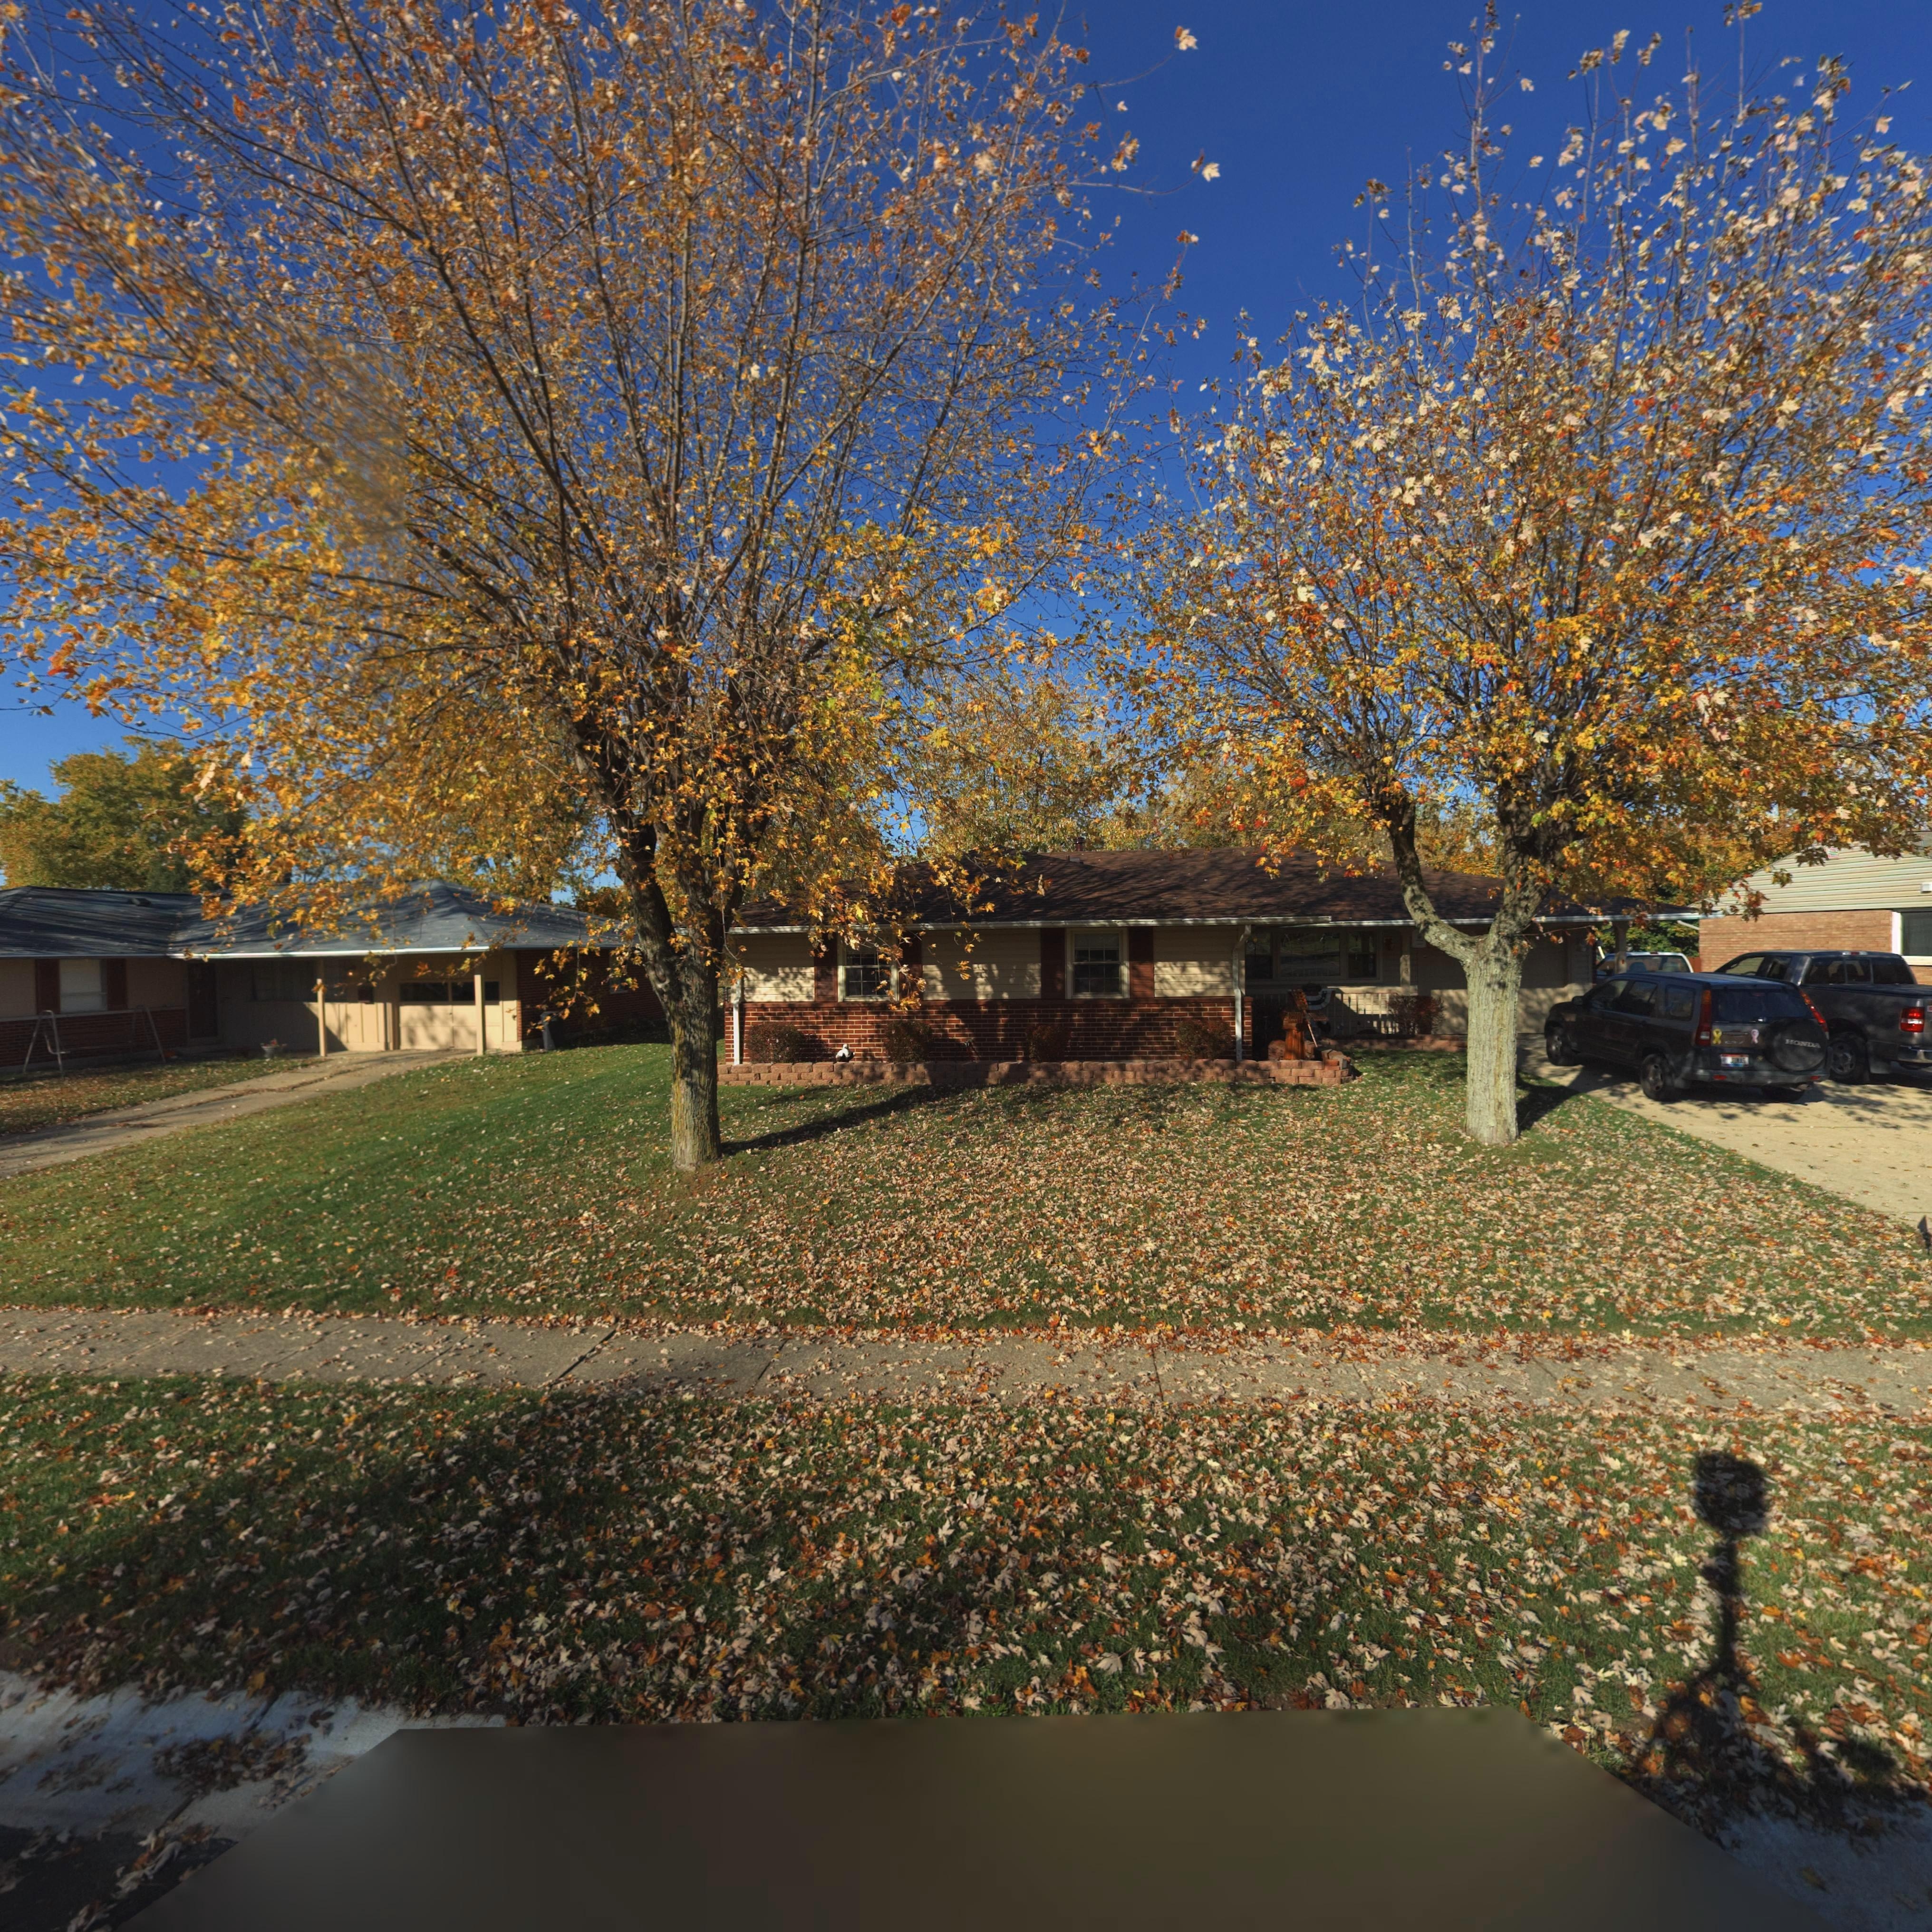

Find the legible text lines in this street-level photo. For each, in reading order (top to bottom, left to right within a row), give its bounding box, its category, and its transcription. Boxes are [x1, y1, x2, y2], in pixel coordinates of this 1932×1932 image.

[1403, 959, 1410, 975] StreetNumber: 13